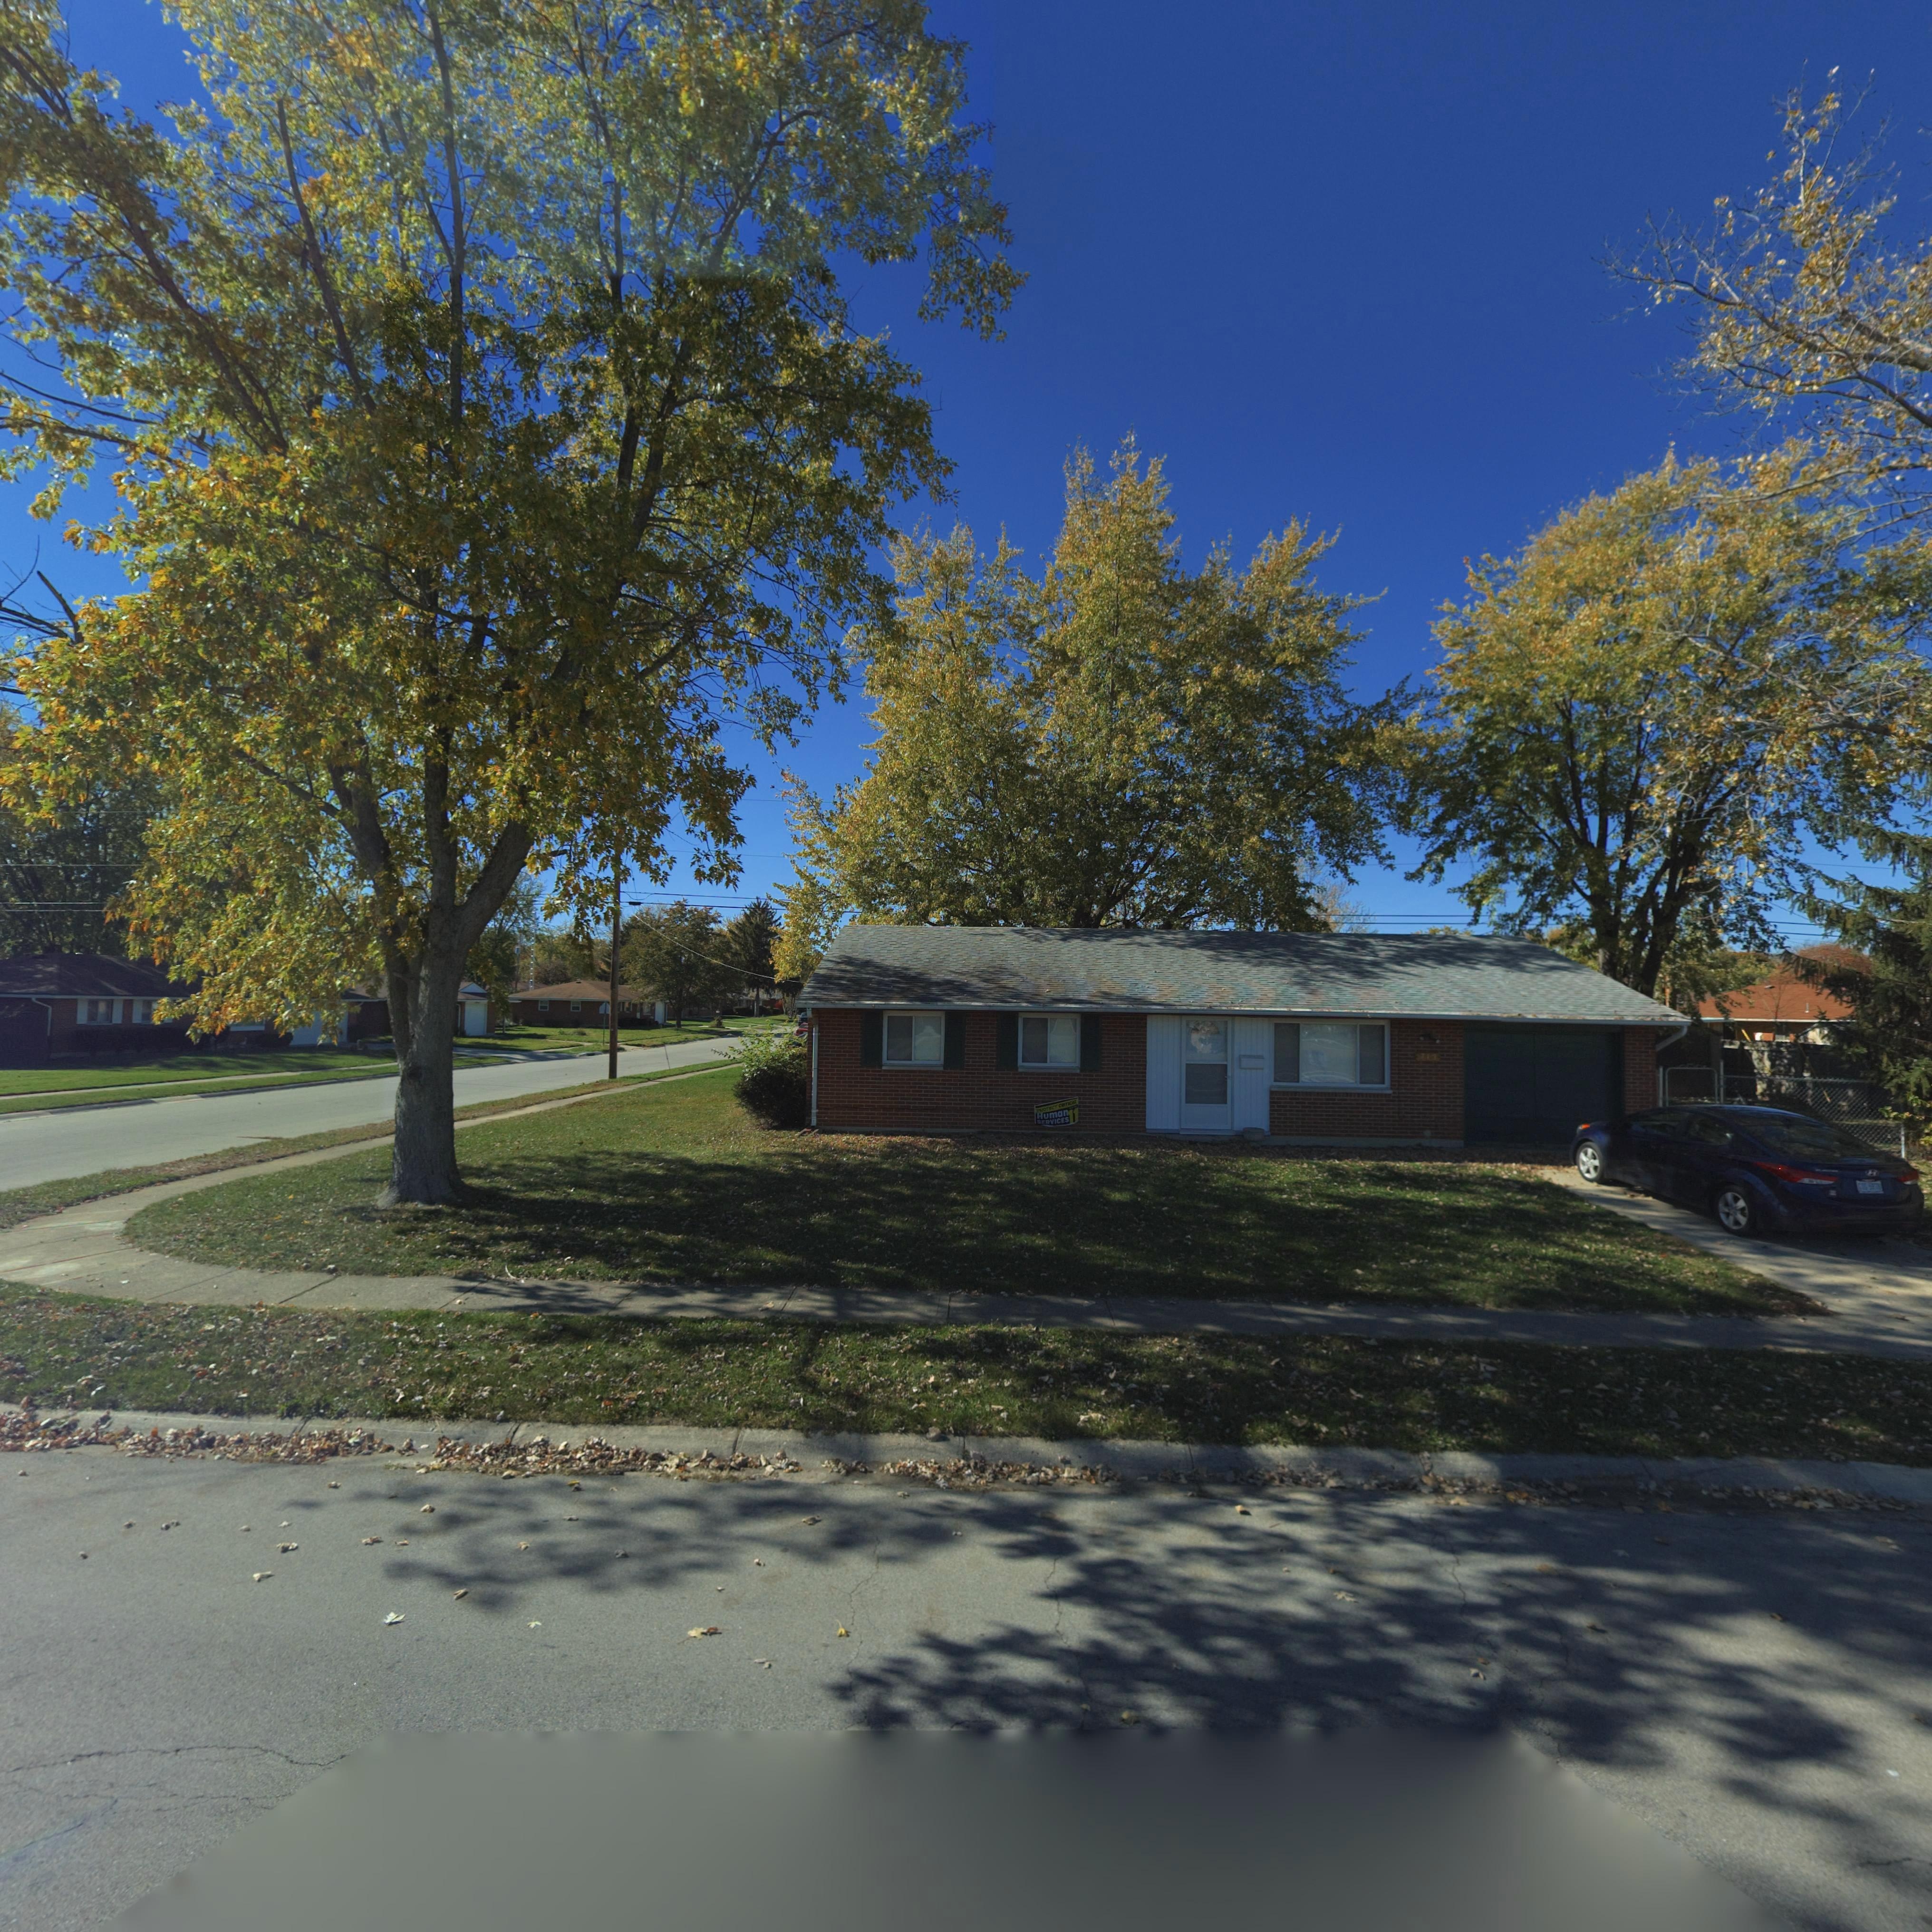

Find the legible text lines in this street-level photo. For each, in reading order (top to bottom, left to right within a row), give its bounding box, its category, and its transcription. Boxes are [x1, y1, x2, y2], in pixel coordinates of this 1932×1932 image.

[1419, 1053, 1438, 1061] StreetNumber: *1*
[1036, 1099, 1078, 1113] None: PROTECT CRITICAL
[1036, 1109, 1069, 1120] None: Human
[1036, 1116, 1070, 1125] None: SERVICES
[1067, 1107, 1079, 1124] None: 11